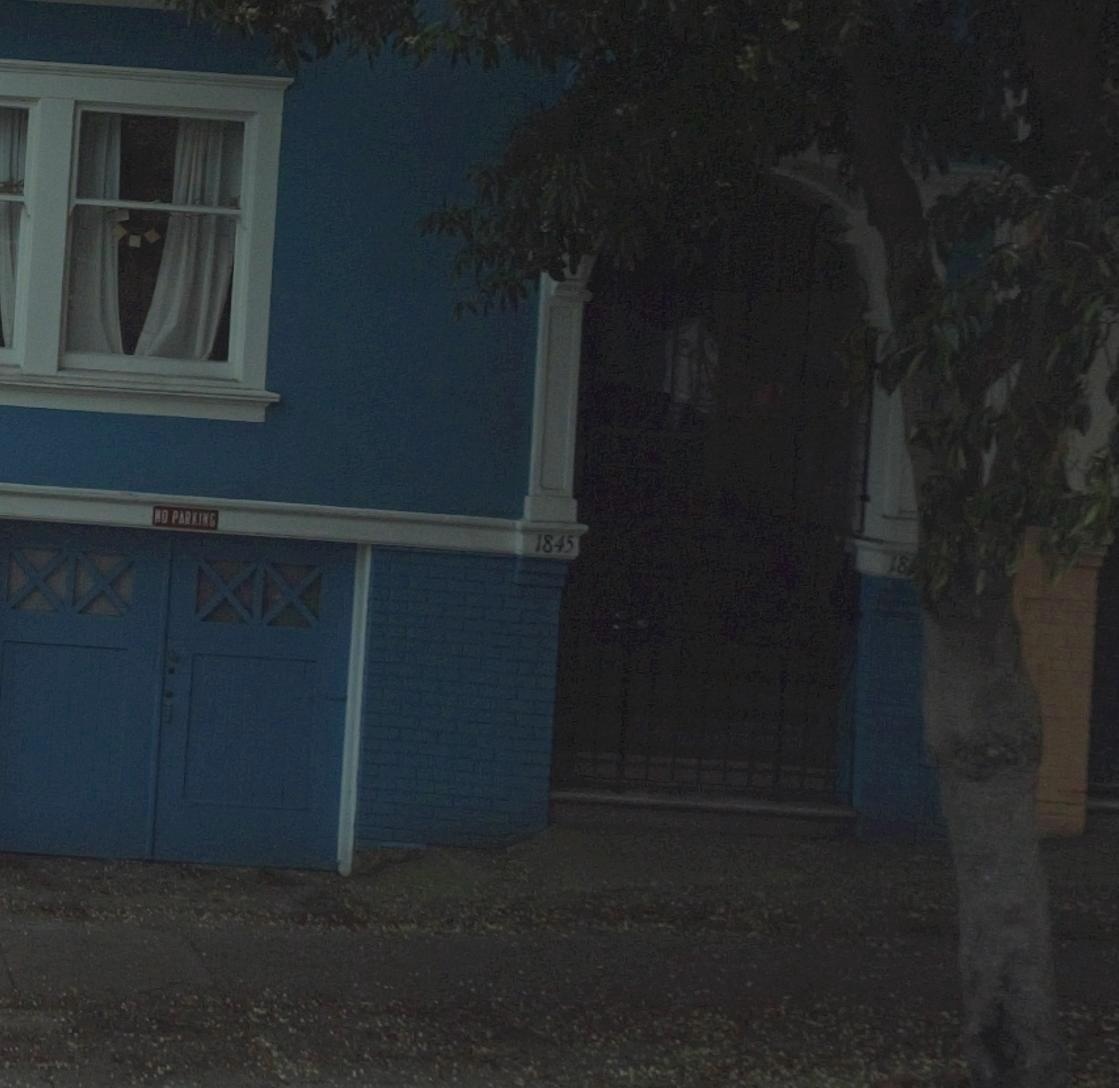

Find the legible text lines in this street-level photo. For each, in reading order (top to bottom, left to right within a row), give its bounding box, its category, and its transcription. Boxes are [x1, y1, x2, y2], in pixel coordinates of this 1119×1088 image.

[153, 506, 218, 530] None: NO PARKING
[535, 531, 576, 555] StreetNumber: 1845
[886, 552, 913, 576] StreetNumber: 18